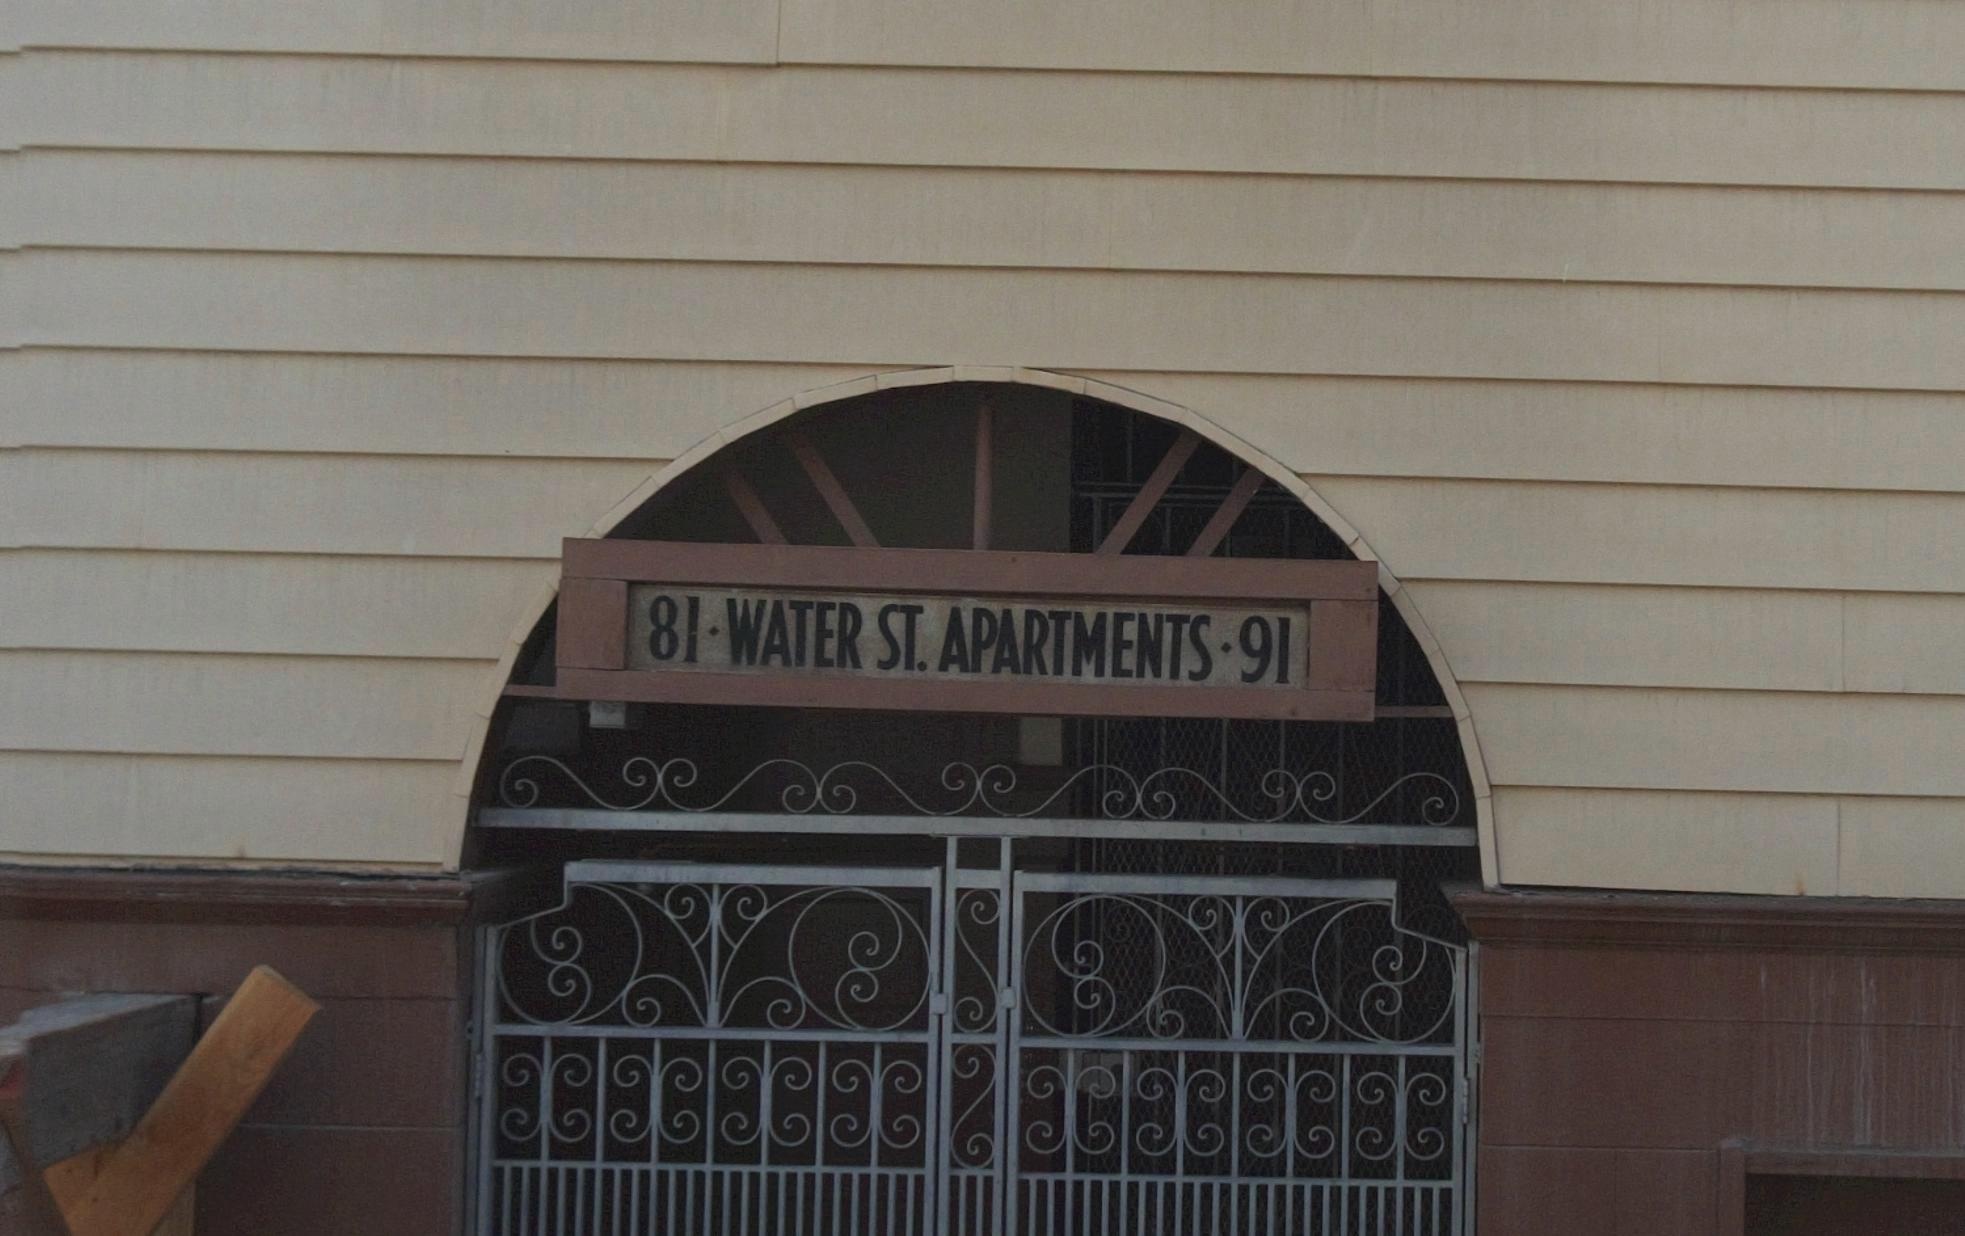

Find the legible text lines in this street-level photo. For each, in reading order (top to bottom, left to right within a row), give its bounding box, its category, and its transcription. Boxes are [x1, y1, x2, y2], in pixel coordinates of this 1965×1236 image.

[647, 594, 702, 665] StreetNumber: 81
[724, 596, 1213, 684] BusinessName: WATER ST. APARTMENTS
[1239, 615, 1291, 686] StreetNumber: 91